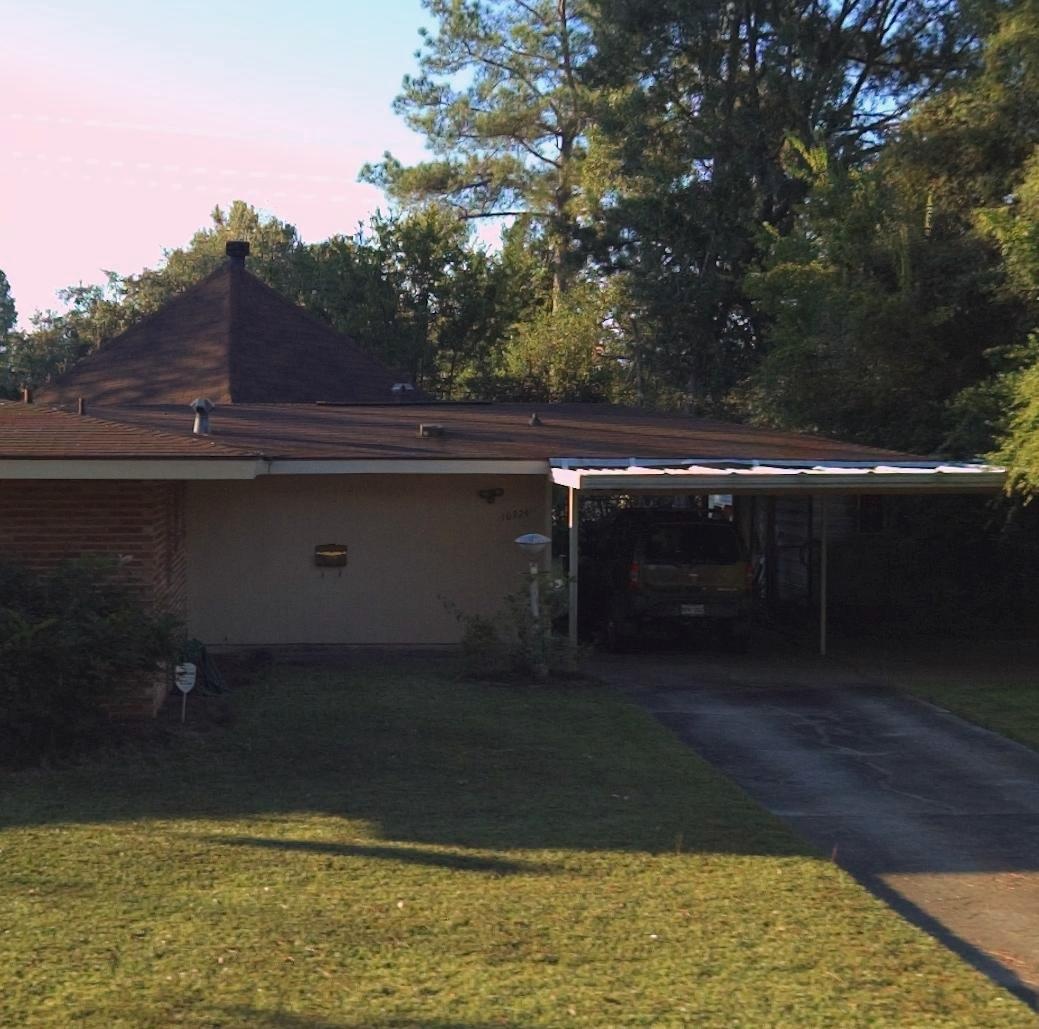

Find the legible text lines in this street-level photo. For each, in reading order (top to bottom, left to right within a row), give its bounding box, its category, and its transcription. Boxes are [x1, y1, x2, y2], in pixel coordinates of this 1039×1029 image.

[499, 506, 531, 524] StreetNumber: 10324